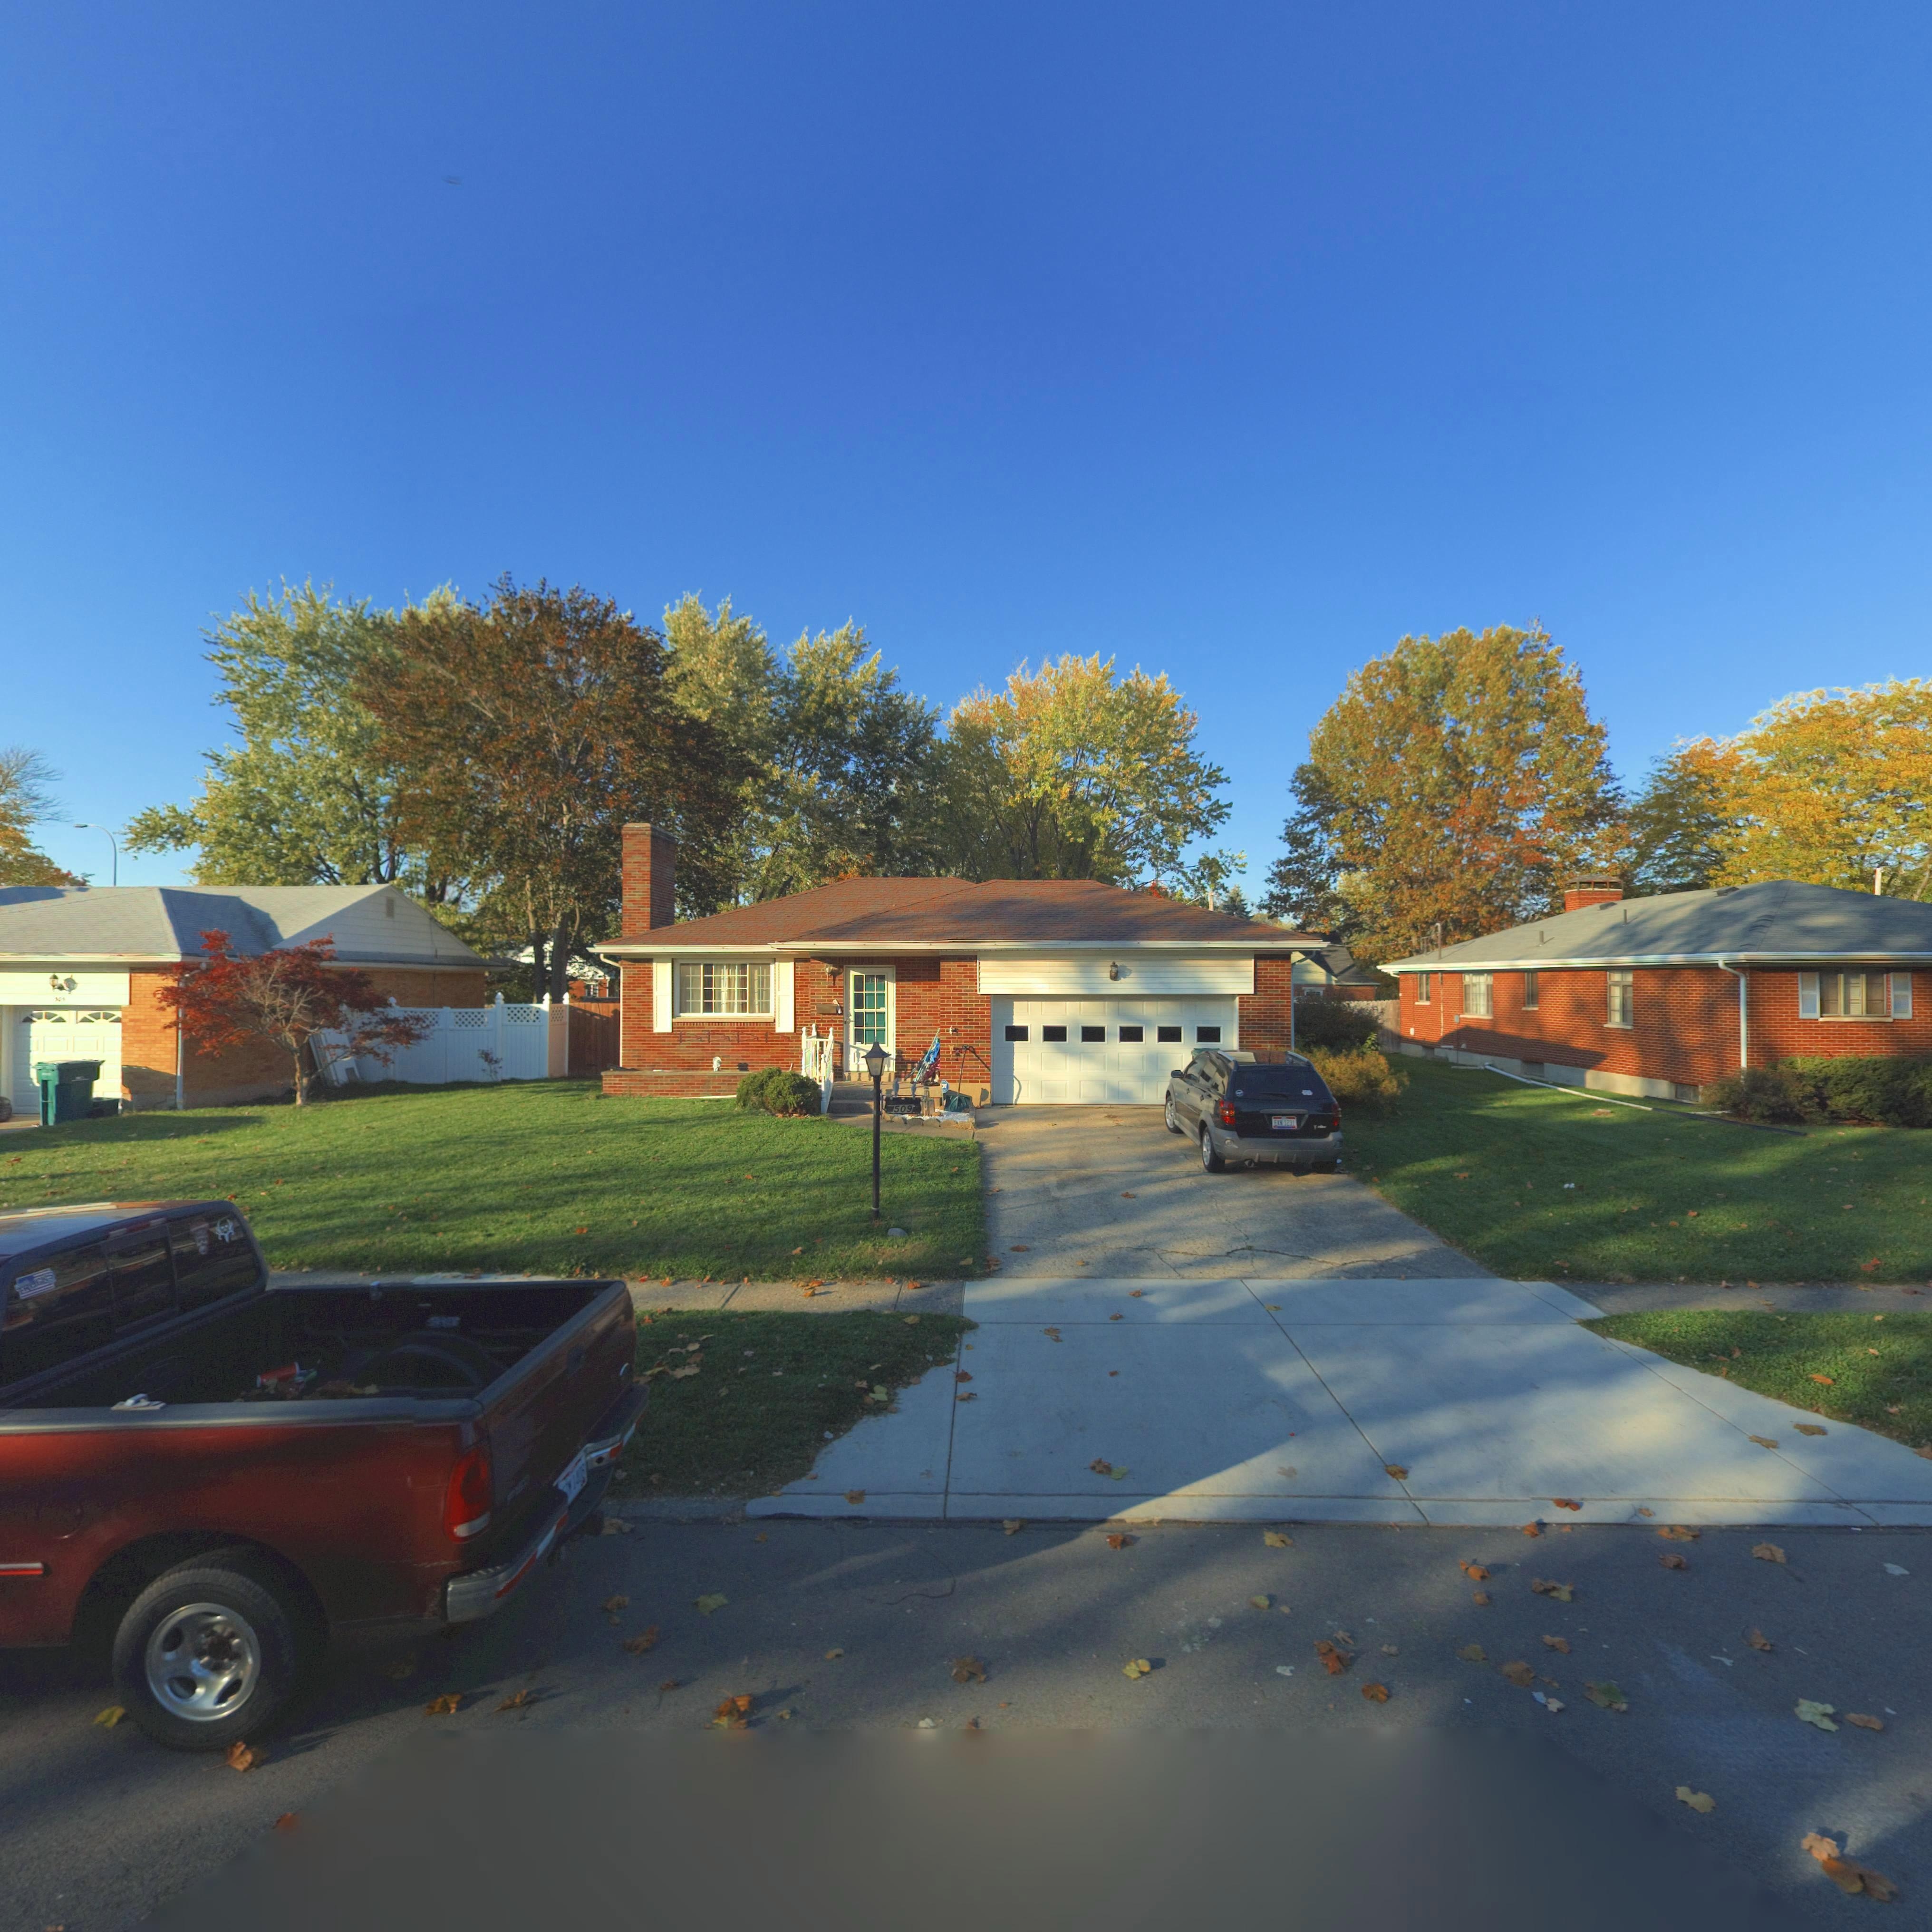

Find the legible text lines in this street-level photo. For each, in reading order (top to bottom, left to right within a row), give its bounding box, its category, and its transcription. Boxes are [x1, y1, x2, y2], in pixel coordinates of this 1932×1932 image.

[55, 997, 65, 1002] StreetNumber: 50*
[893, 1105, 913, 1113] StreetNumber: 509